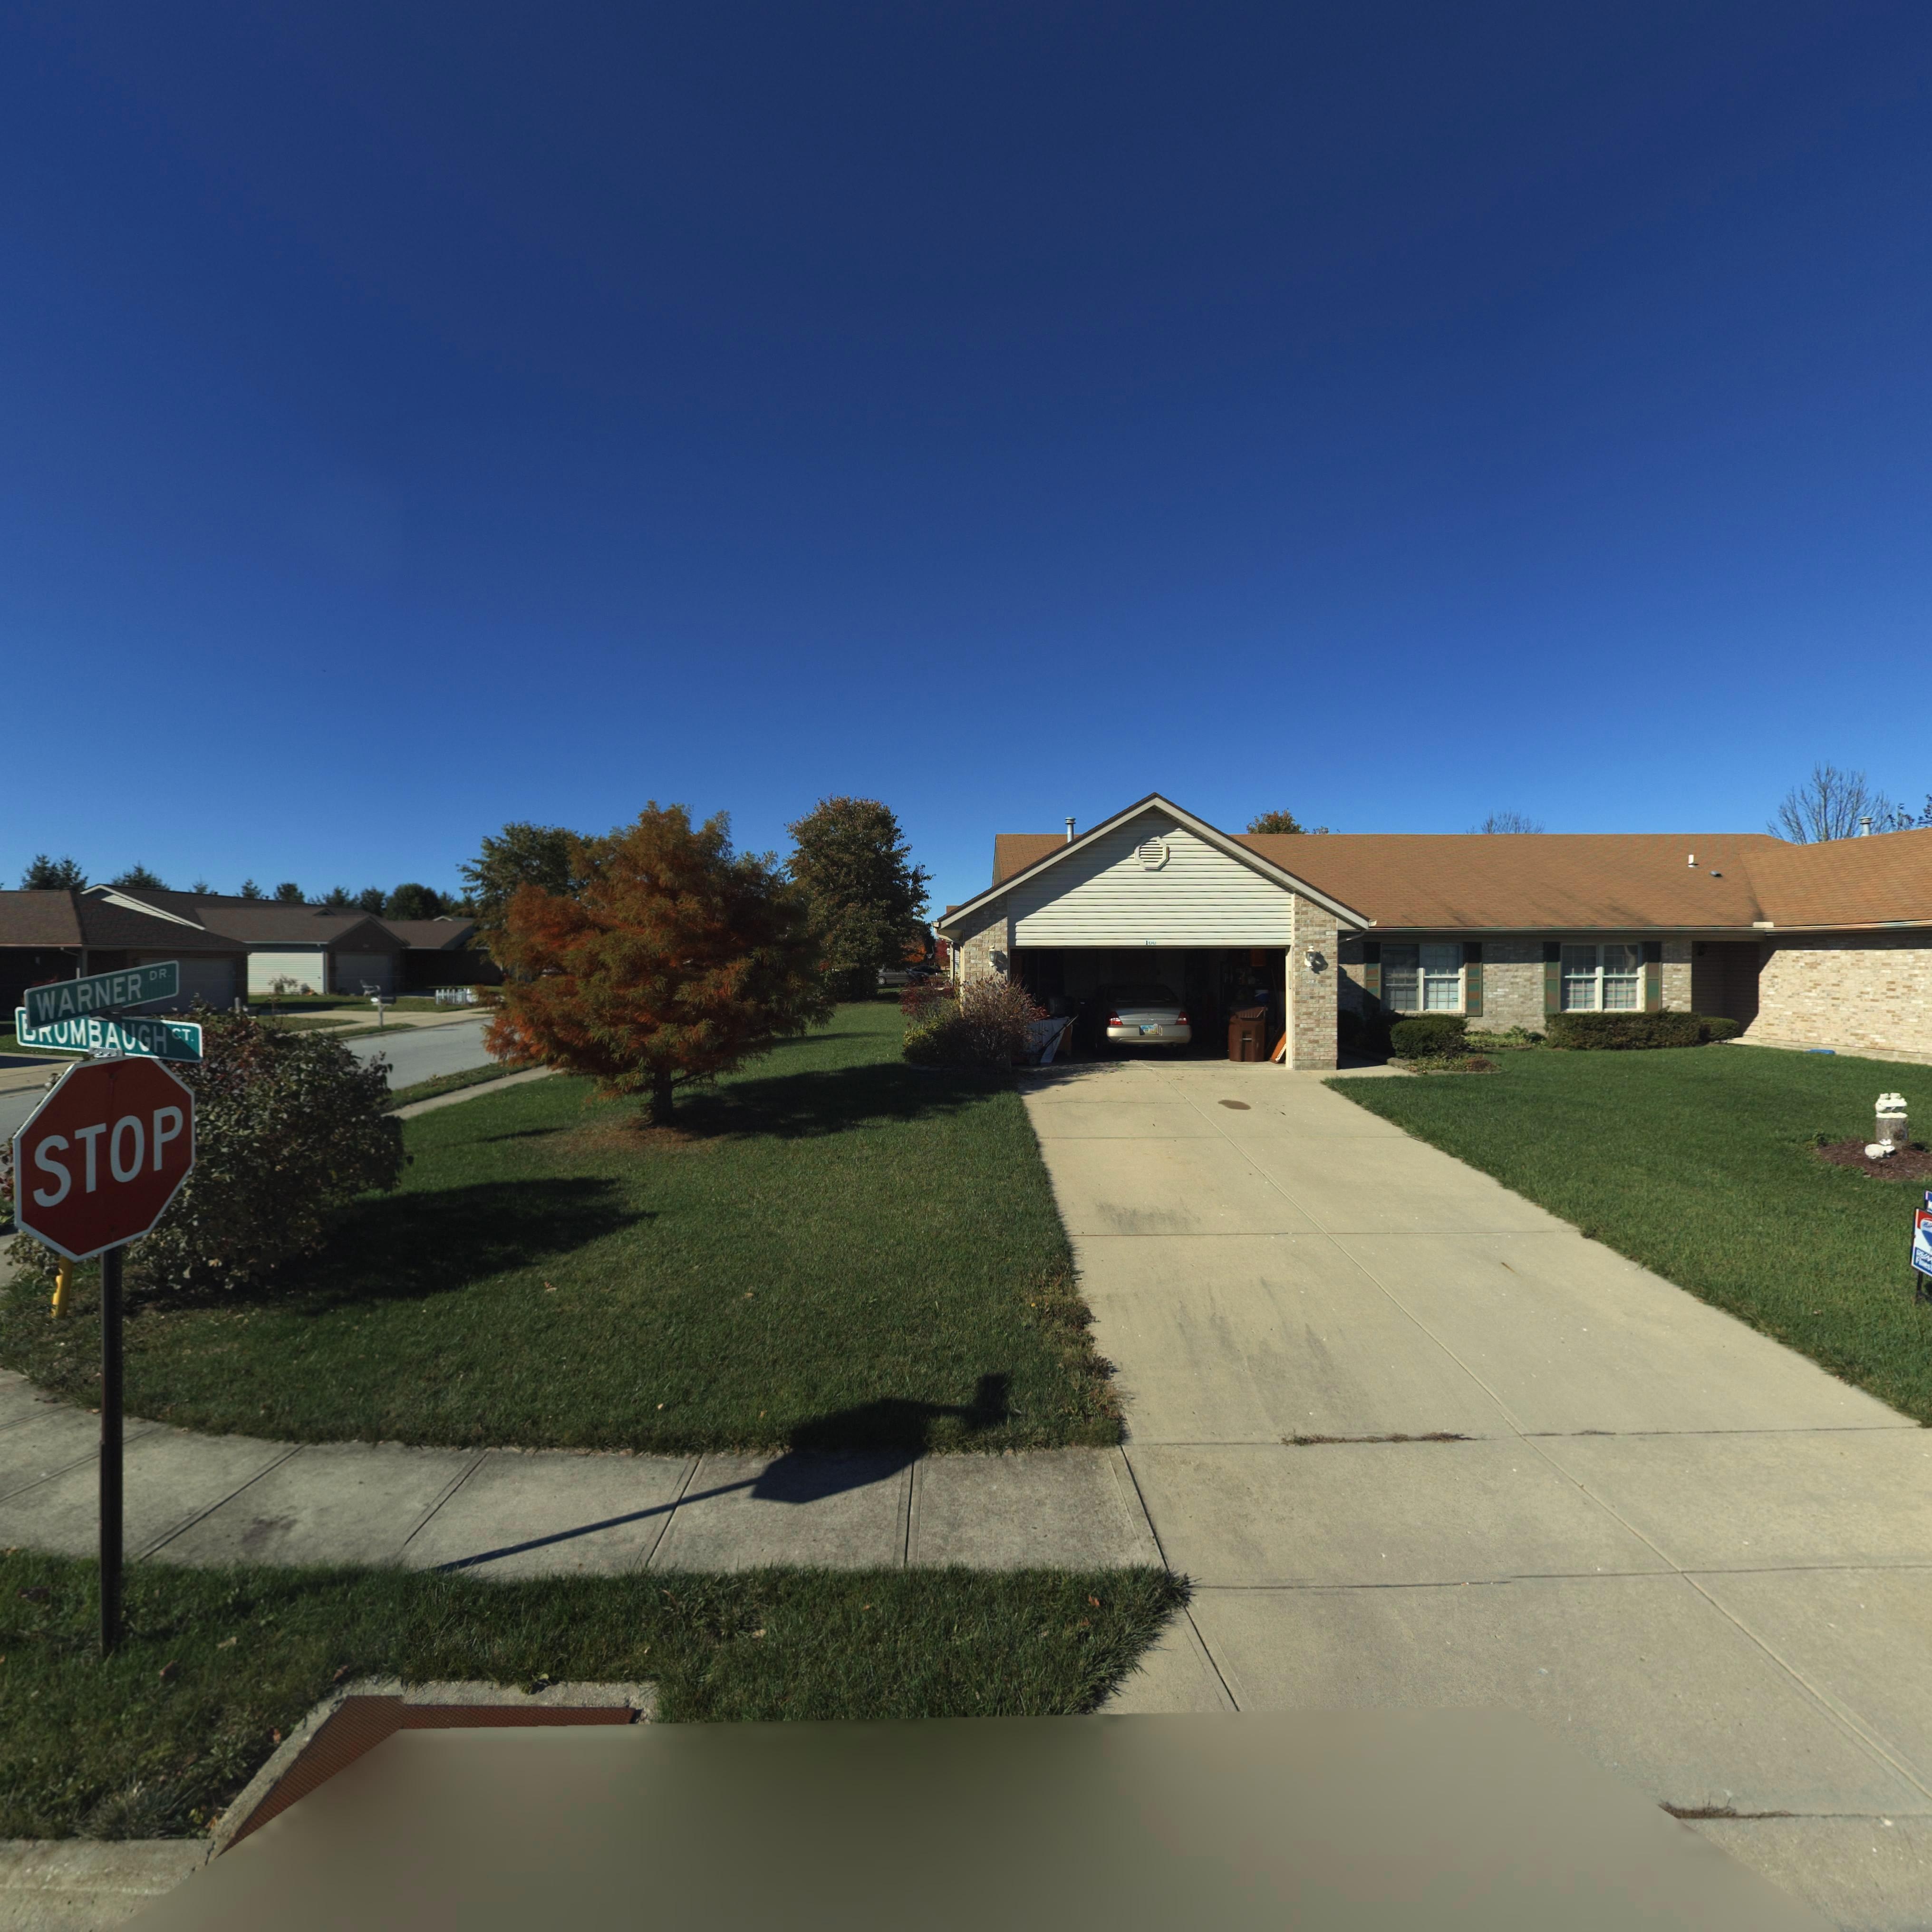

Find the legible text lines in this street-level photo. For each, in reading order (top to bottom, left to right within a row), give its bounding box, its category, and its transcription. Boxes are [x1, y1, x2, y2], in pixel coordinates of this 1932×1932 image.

[1145, 940, 1157, 946] StreetNumber: 100
[33, 966, 174, 1027] None: WARNER DR
[66, 1017, 201, 1061] None: MBAUGH CT.
[27, 1101, 187, 1214] None: STOP